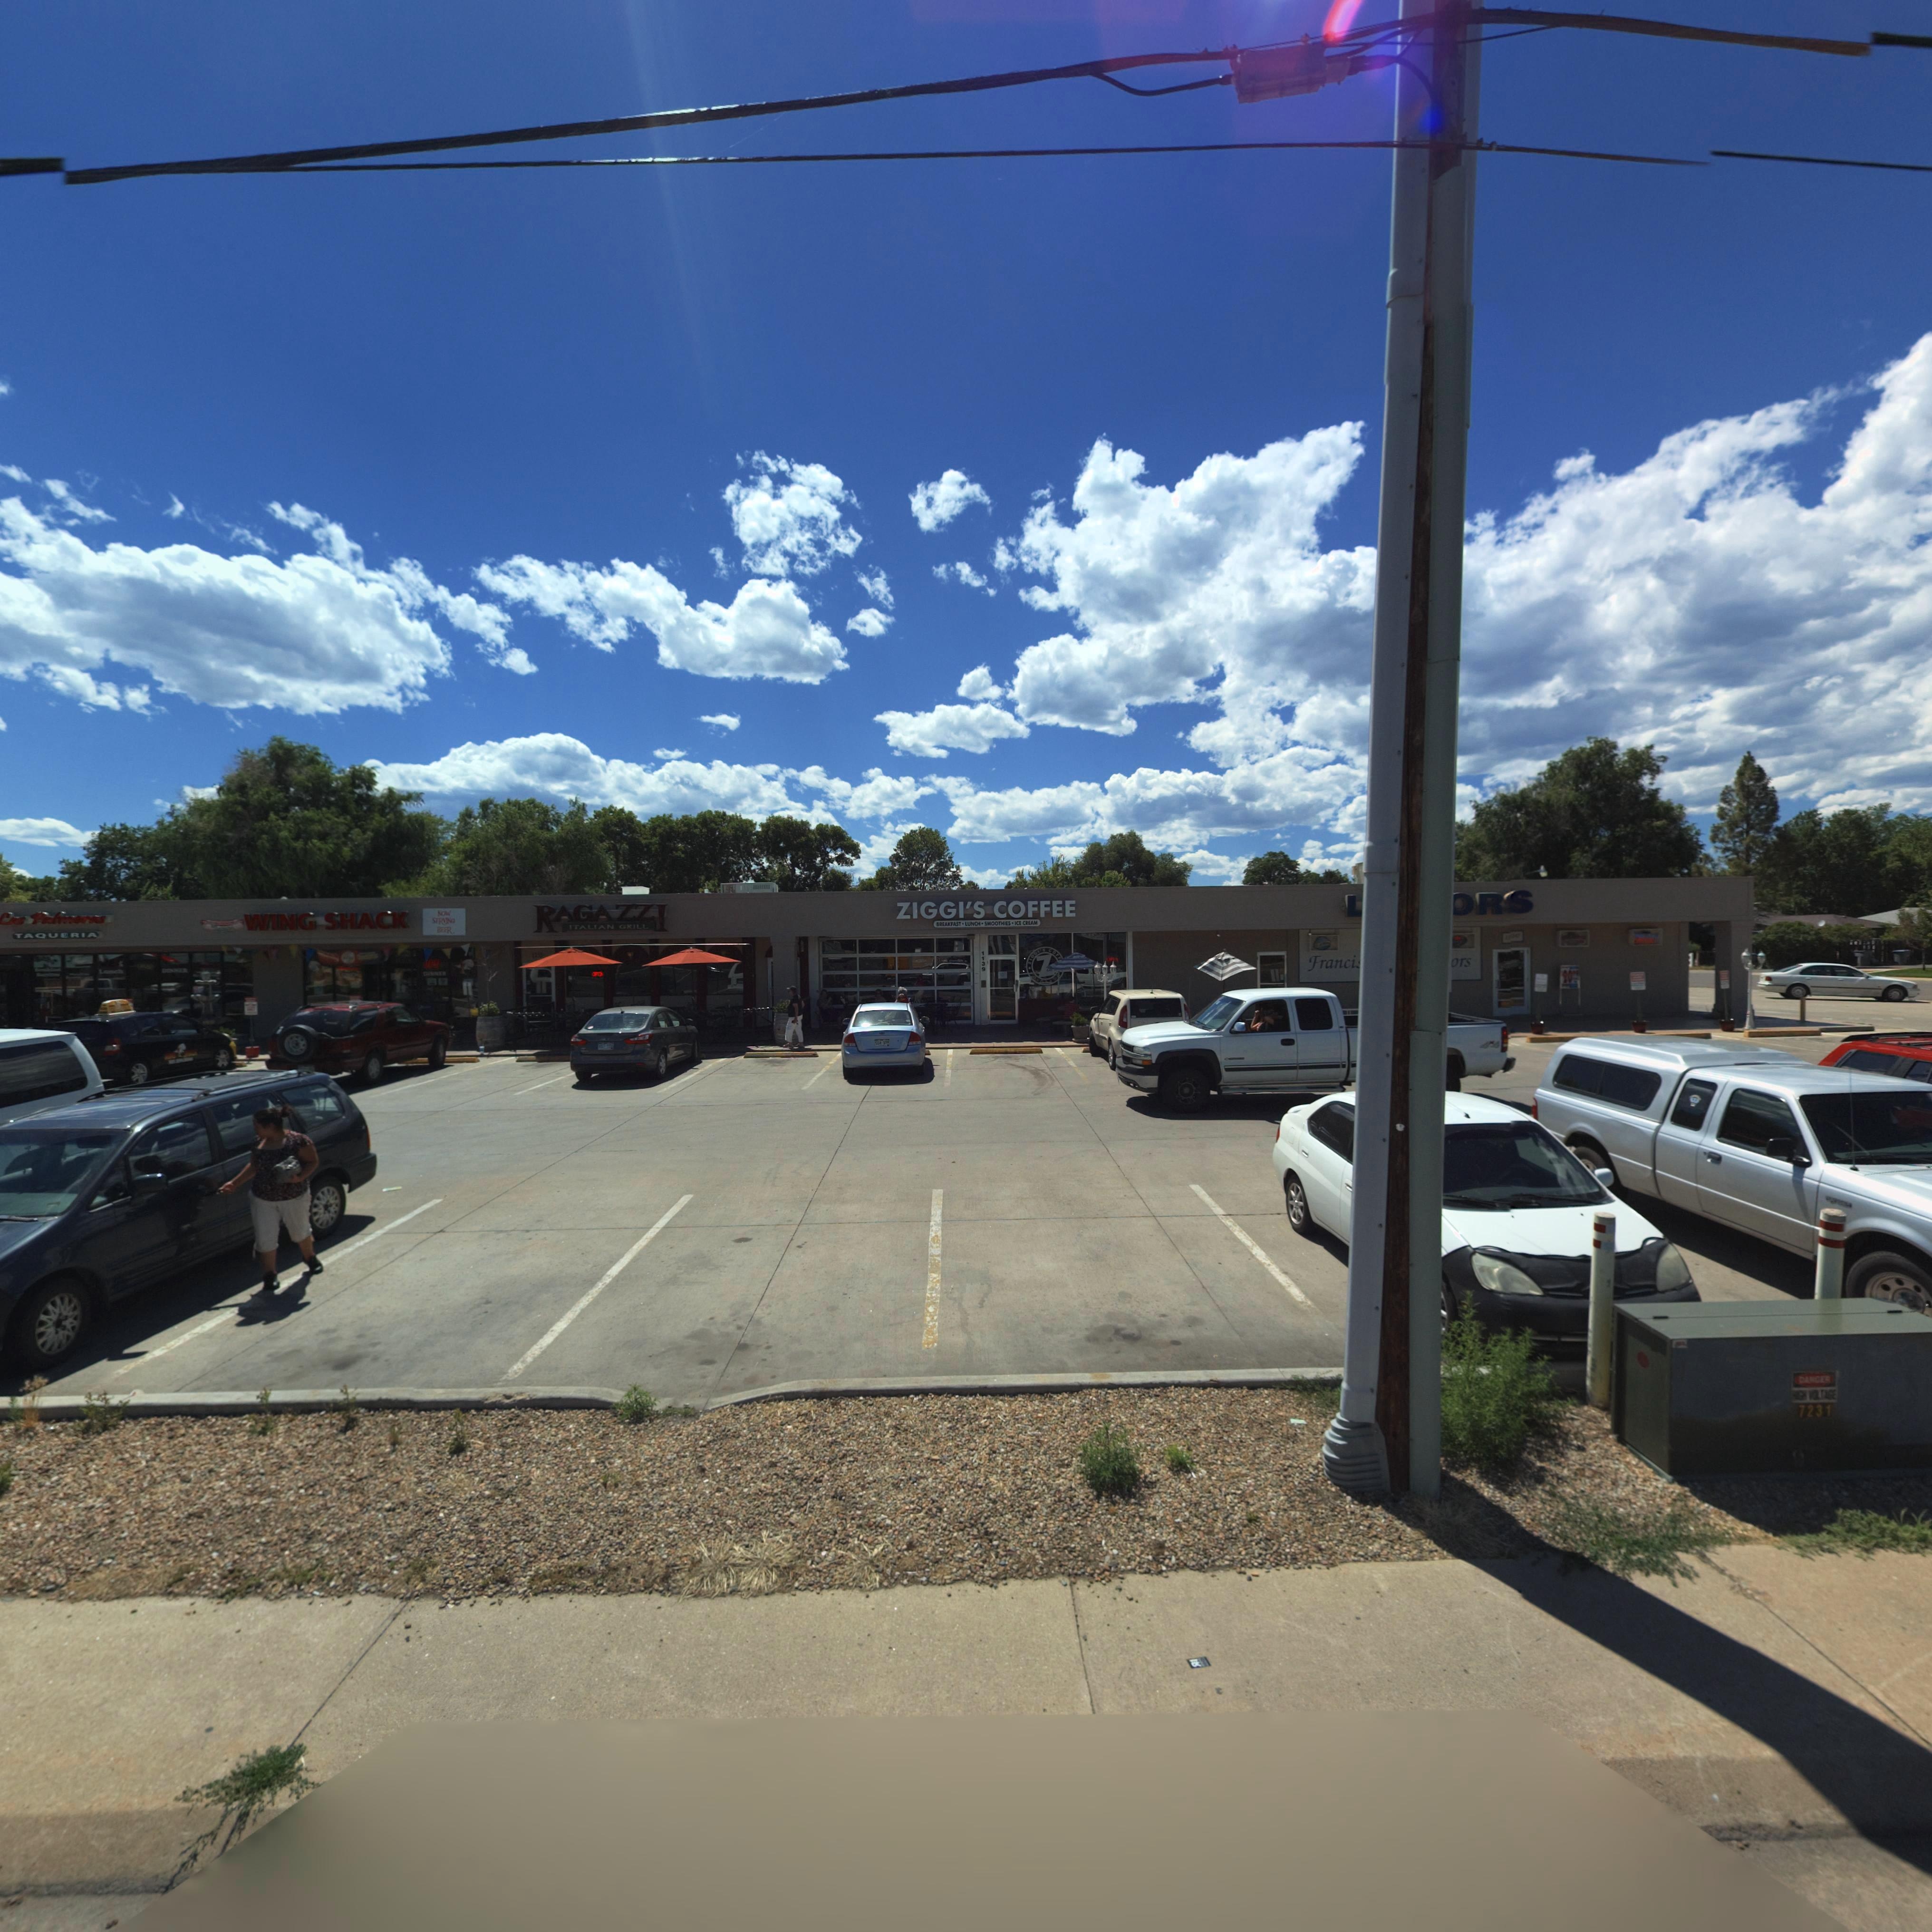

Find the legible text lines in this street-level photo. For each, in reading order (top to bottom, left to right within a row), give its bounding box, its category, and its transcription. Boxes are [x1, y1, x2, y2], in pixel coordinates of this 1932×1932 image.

[7, 910, 108, 926] BusinessName: as Palmeras
[245, 910, 410, 930] BusinessName: WING SHACK
[533, 902, 667, 933] BusinessName: RAGAZZI
[896, 899, 1075, 919] BusinessName: ZIGGI'S COFFEE
[1452, 889, 1533, 915] BusinessName: ORS
[13, 932, 98, 939] BusinessName: TAQUERIA
[1504, 932, 1520, 941] StreetNumber: 1***
[531, 951, 543, 958] StreetNumber: 12**
[981, 950, 985, 972] StreetNumber: 1139
[1028, 948, 1061, 965] BusinessName: ZIGGI'S COFF
[1308, 954, 1359, 972] BusinessName: Franci
[1452, 957, 1471, 967] BusinessName: ors